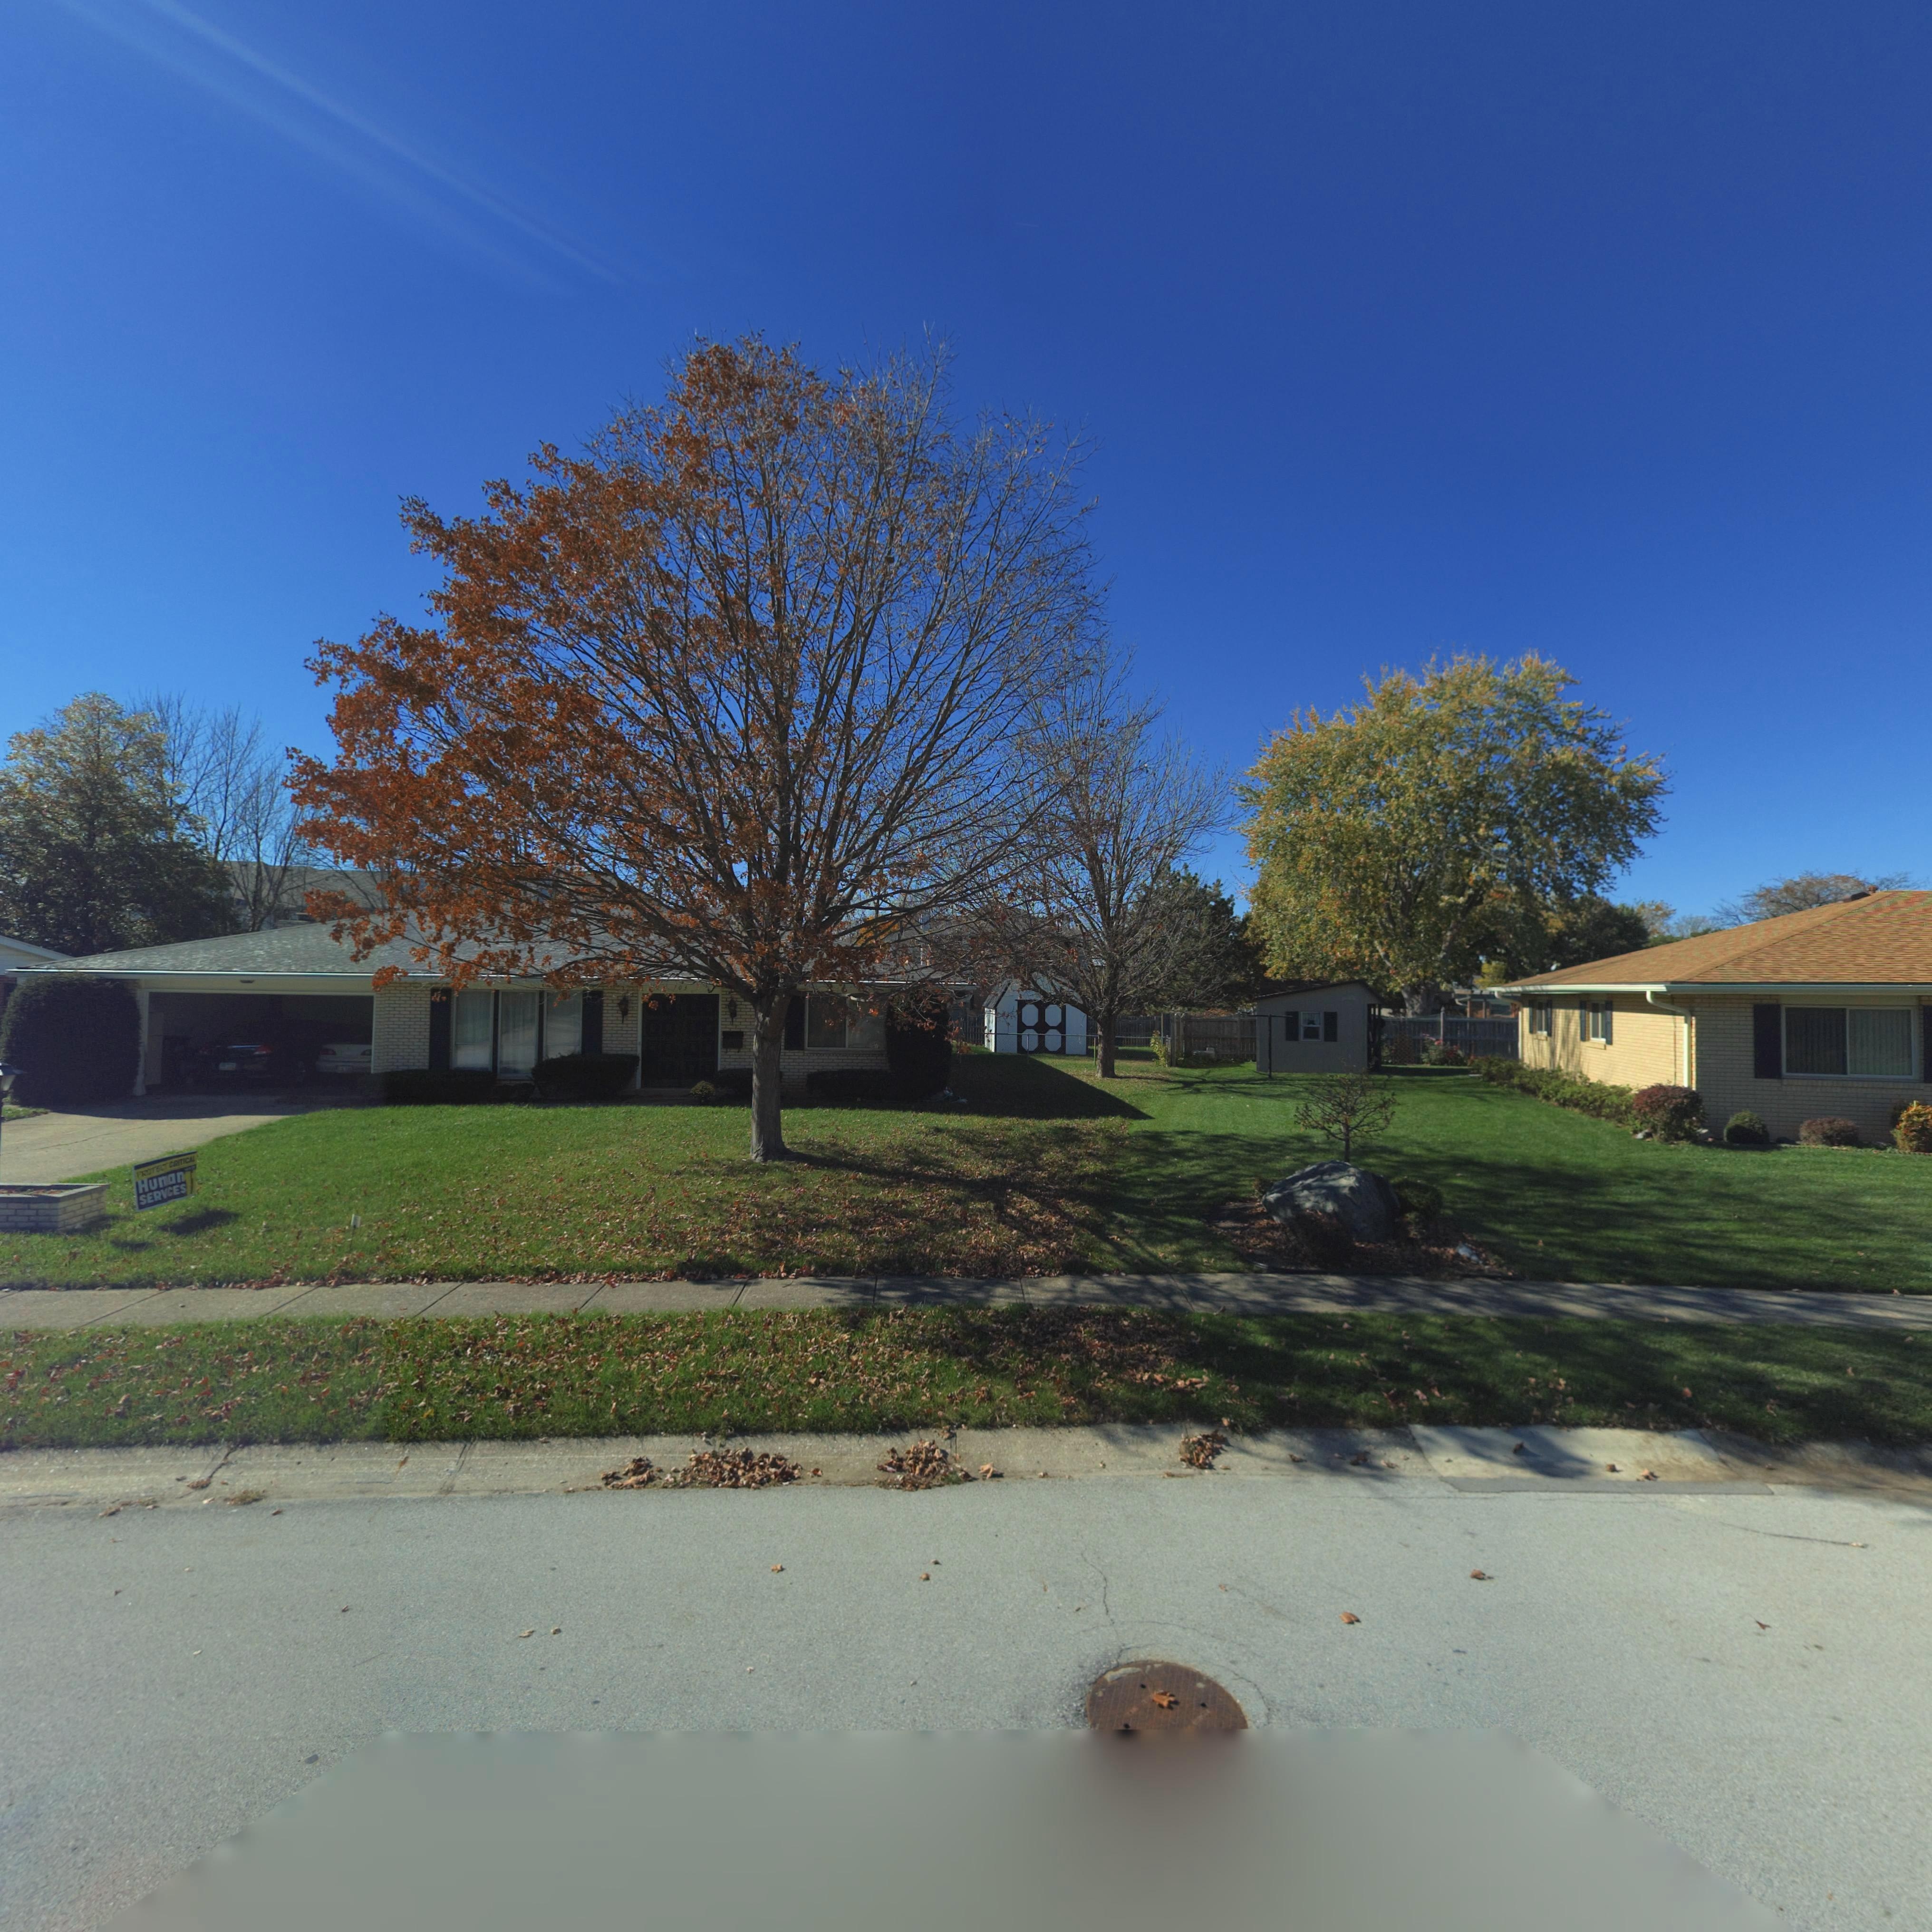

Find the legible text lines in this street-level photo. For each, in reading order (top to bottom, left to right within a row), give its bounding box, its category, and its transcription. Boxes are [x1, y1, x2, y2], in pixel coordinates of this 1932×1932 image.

[673, 985, 687, 990] StreetNumber: 703